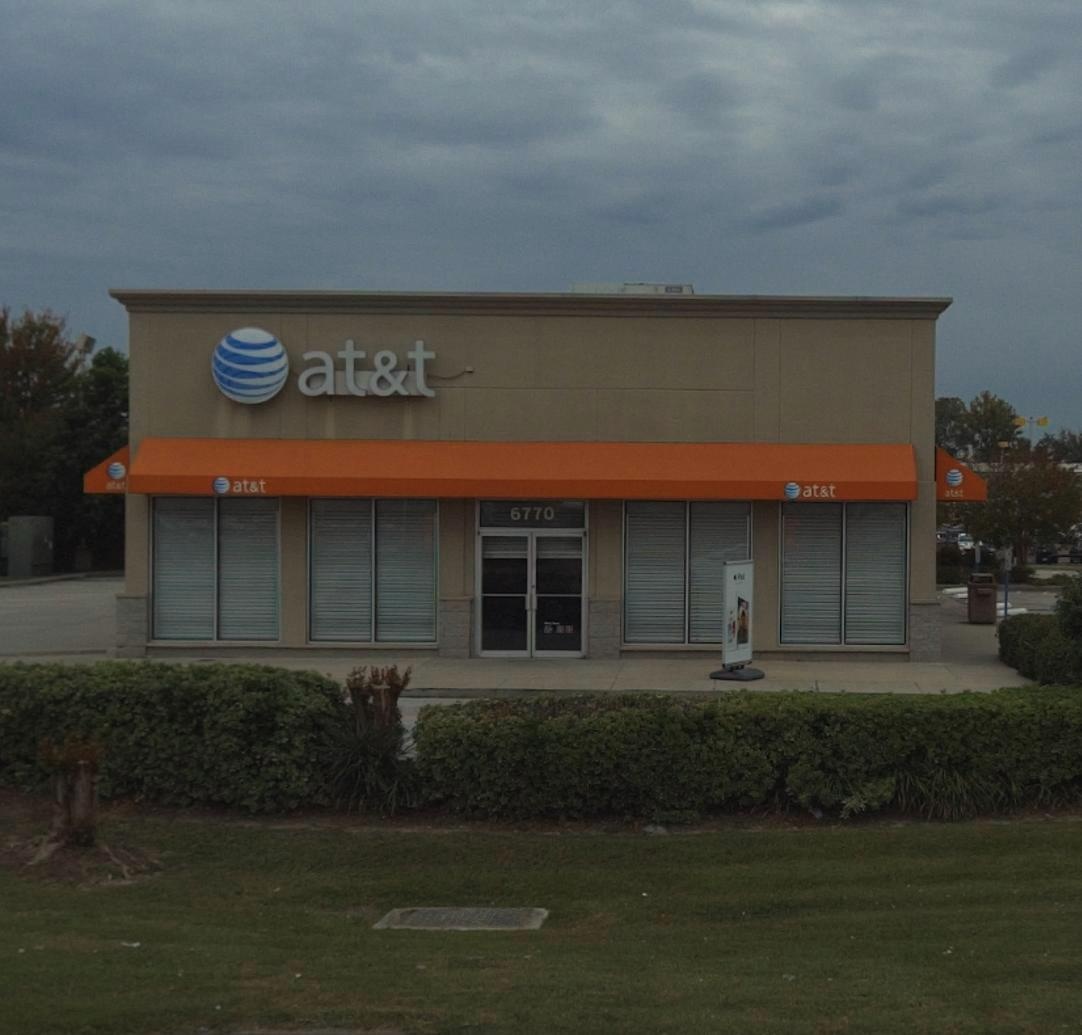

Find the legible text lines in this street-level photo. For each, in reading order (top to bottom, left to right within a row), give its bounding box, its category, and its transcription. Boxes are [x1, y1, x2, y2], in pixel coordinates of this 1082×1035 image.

[295, 337, 440, 398] BusinessName: at&t
[105, 482, 126, 491] BusinessName: at&t
[232, 479, 266, 495] BusinessName: at&t
[801, 483, 838, 499] BusinessName: at&t
[944, 488, 966, 497] BusinessName: at&t
[508, 505, 556, 522] StreetNumber: 6770